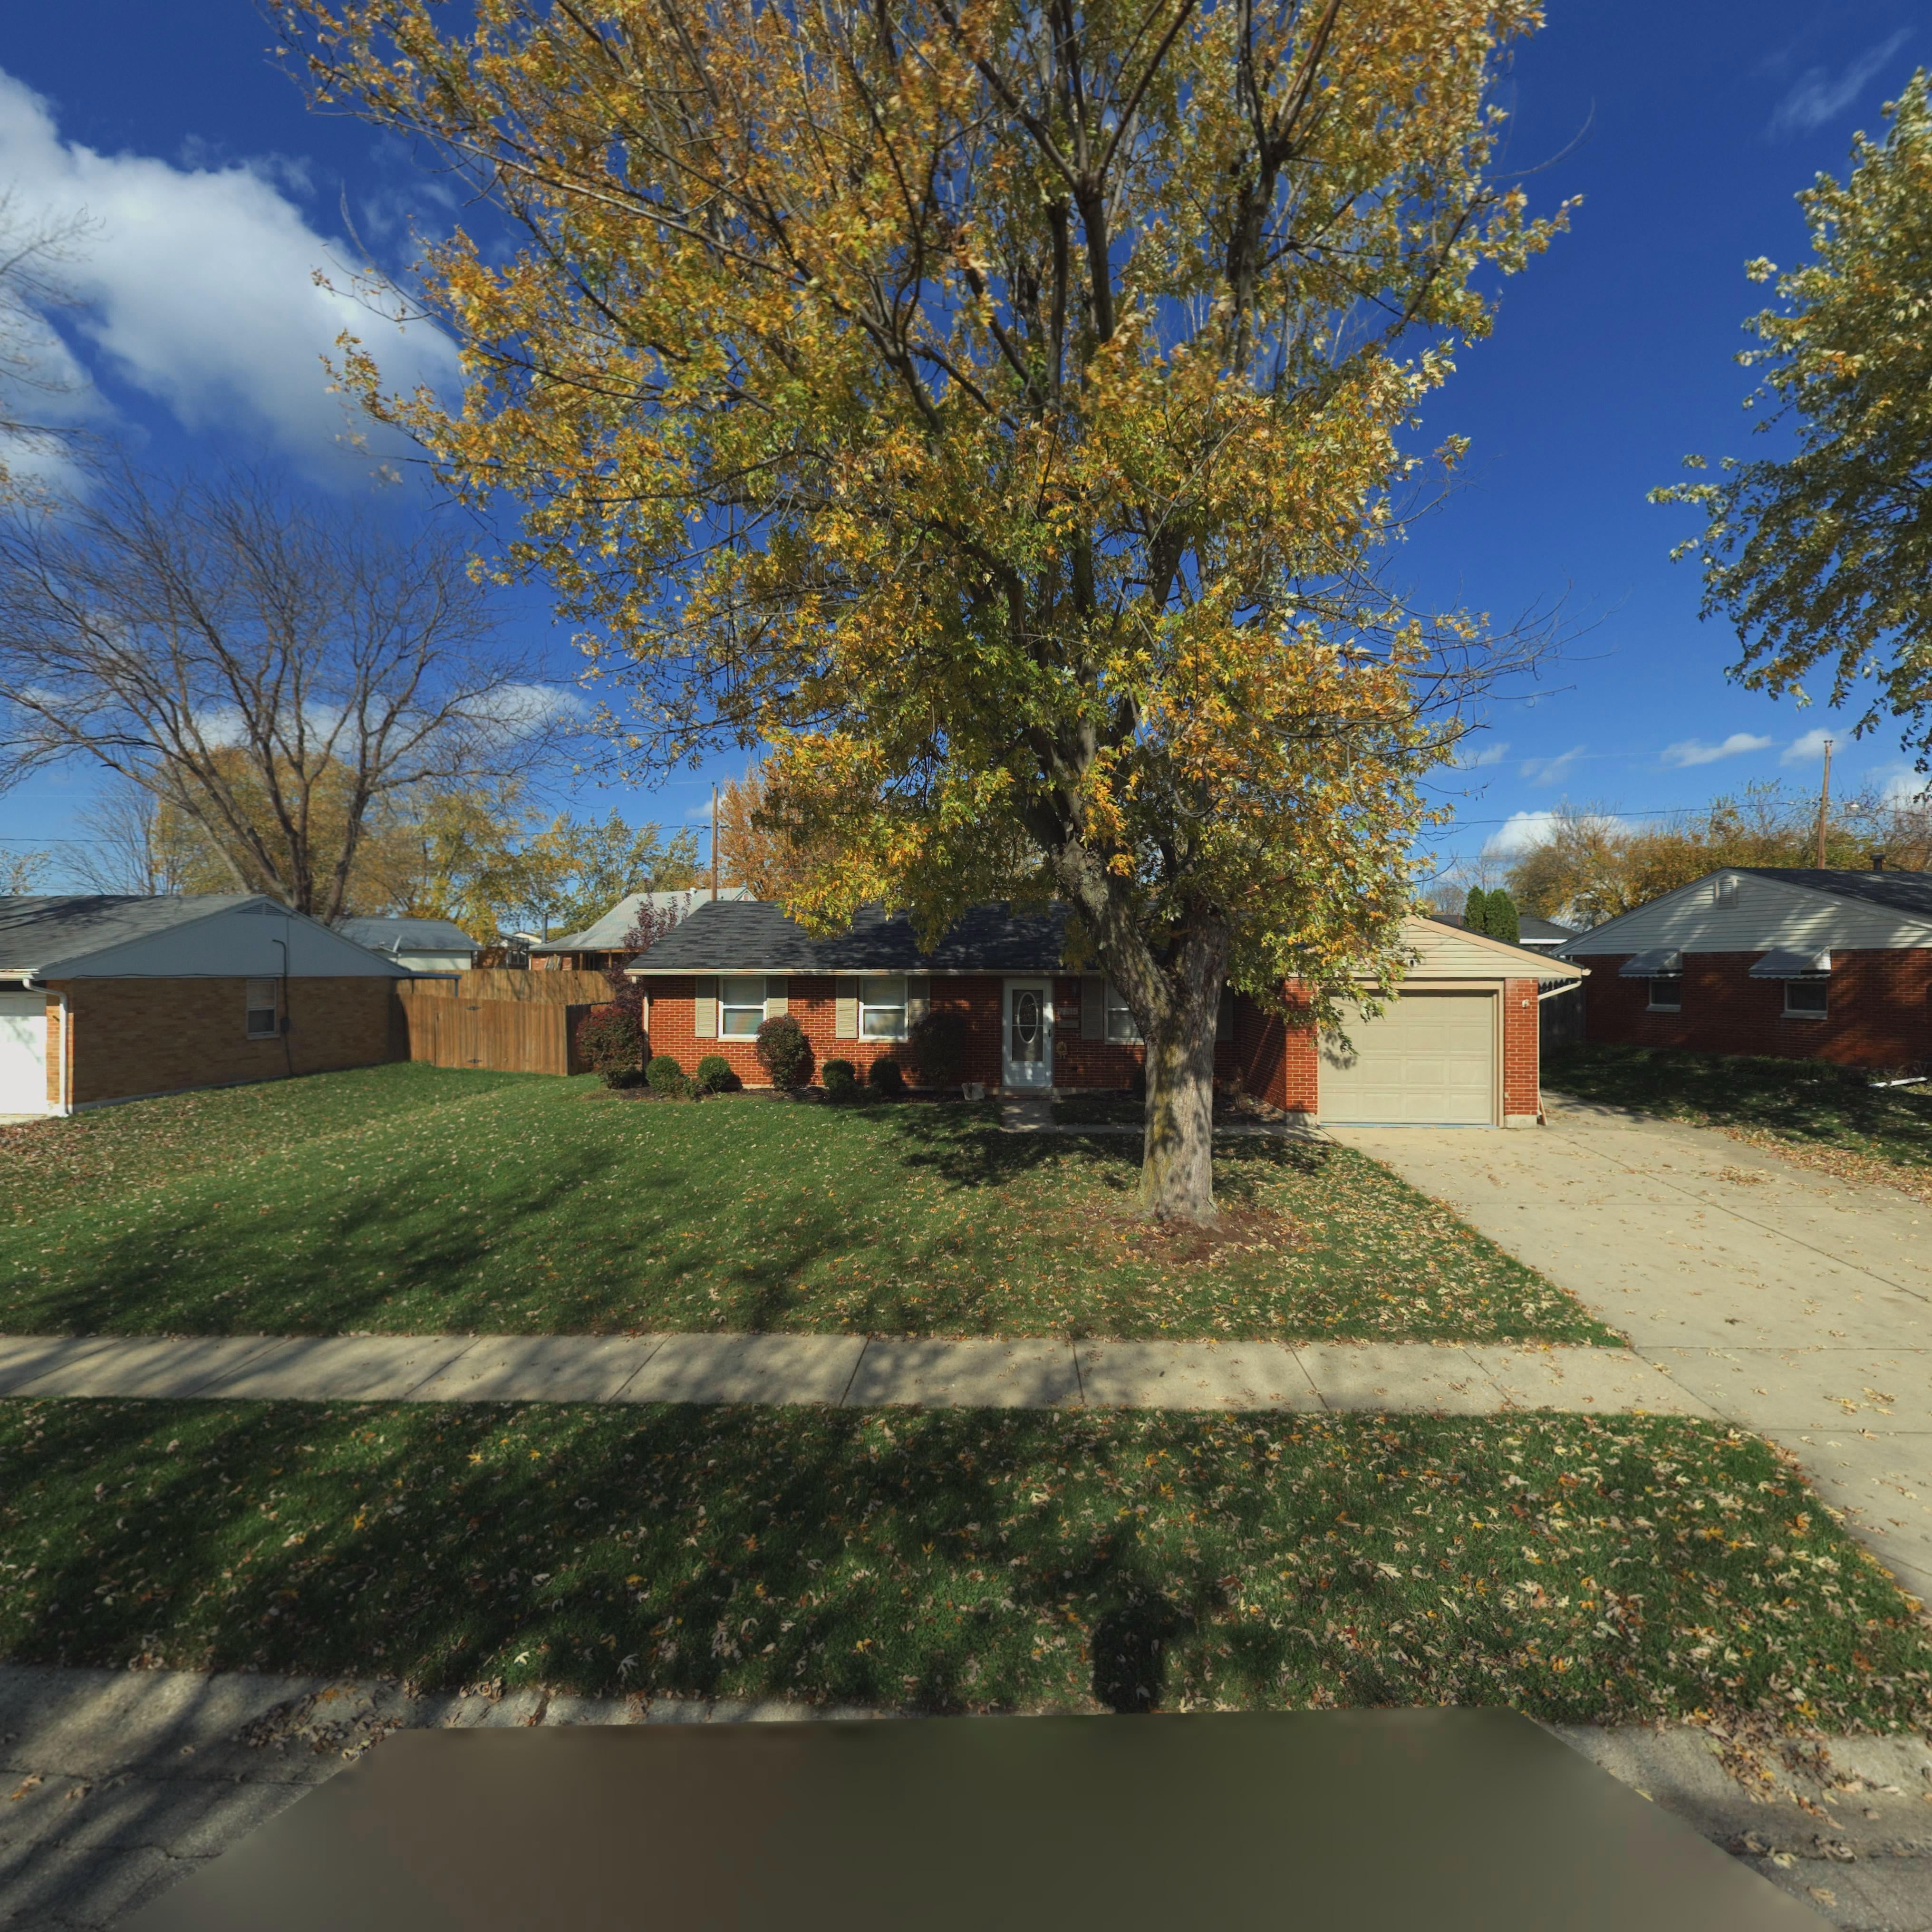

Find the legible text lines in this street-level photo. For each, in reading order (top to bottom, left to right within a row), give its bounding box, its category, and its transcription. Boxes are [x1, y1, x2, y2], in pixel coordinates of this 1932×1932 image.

[1058, 1007, 1079, 1015] StreetNumber: 7615